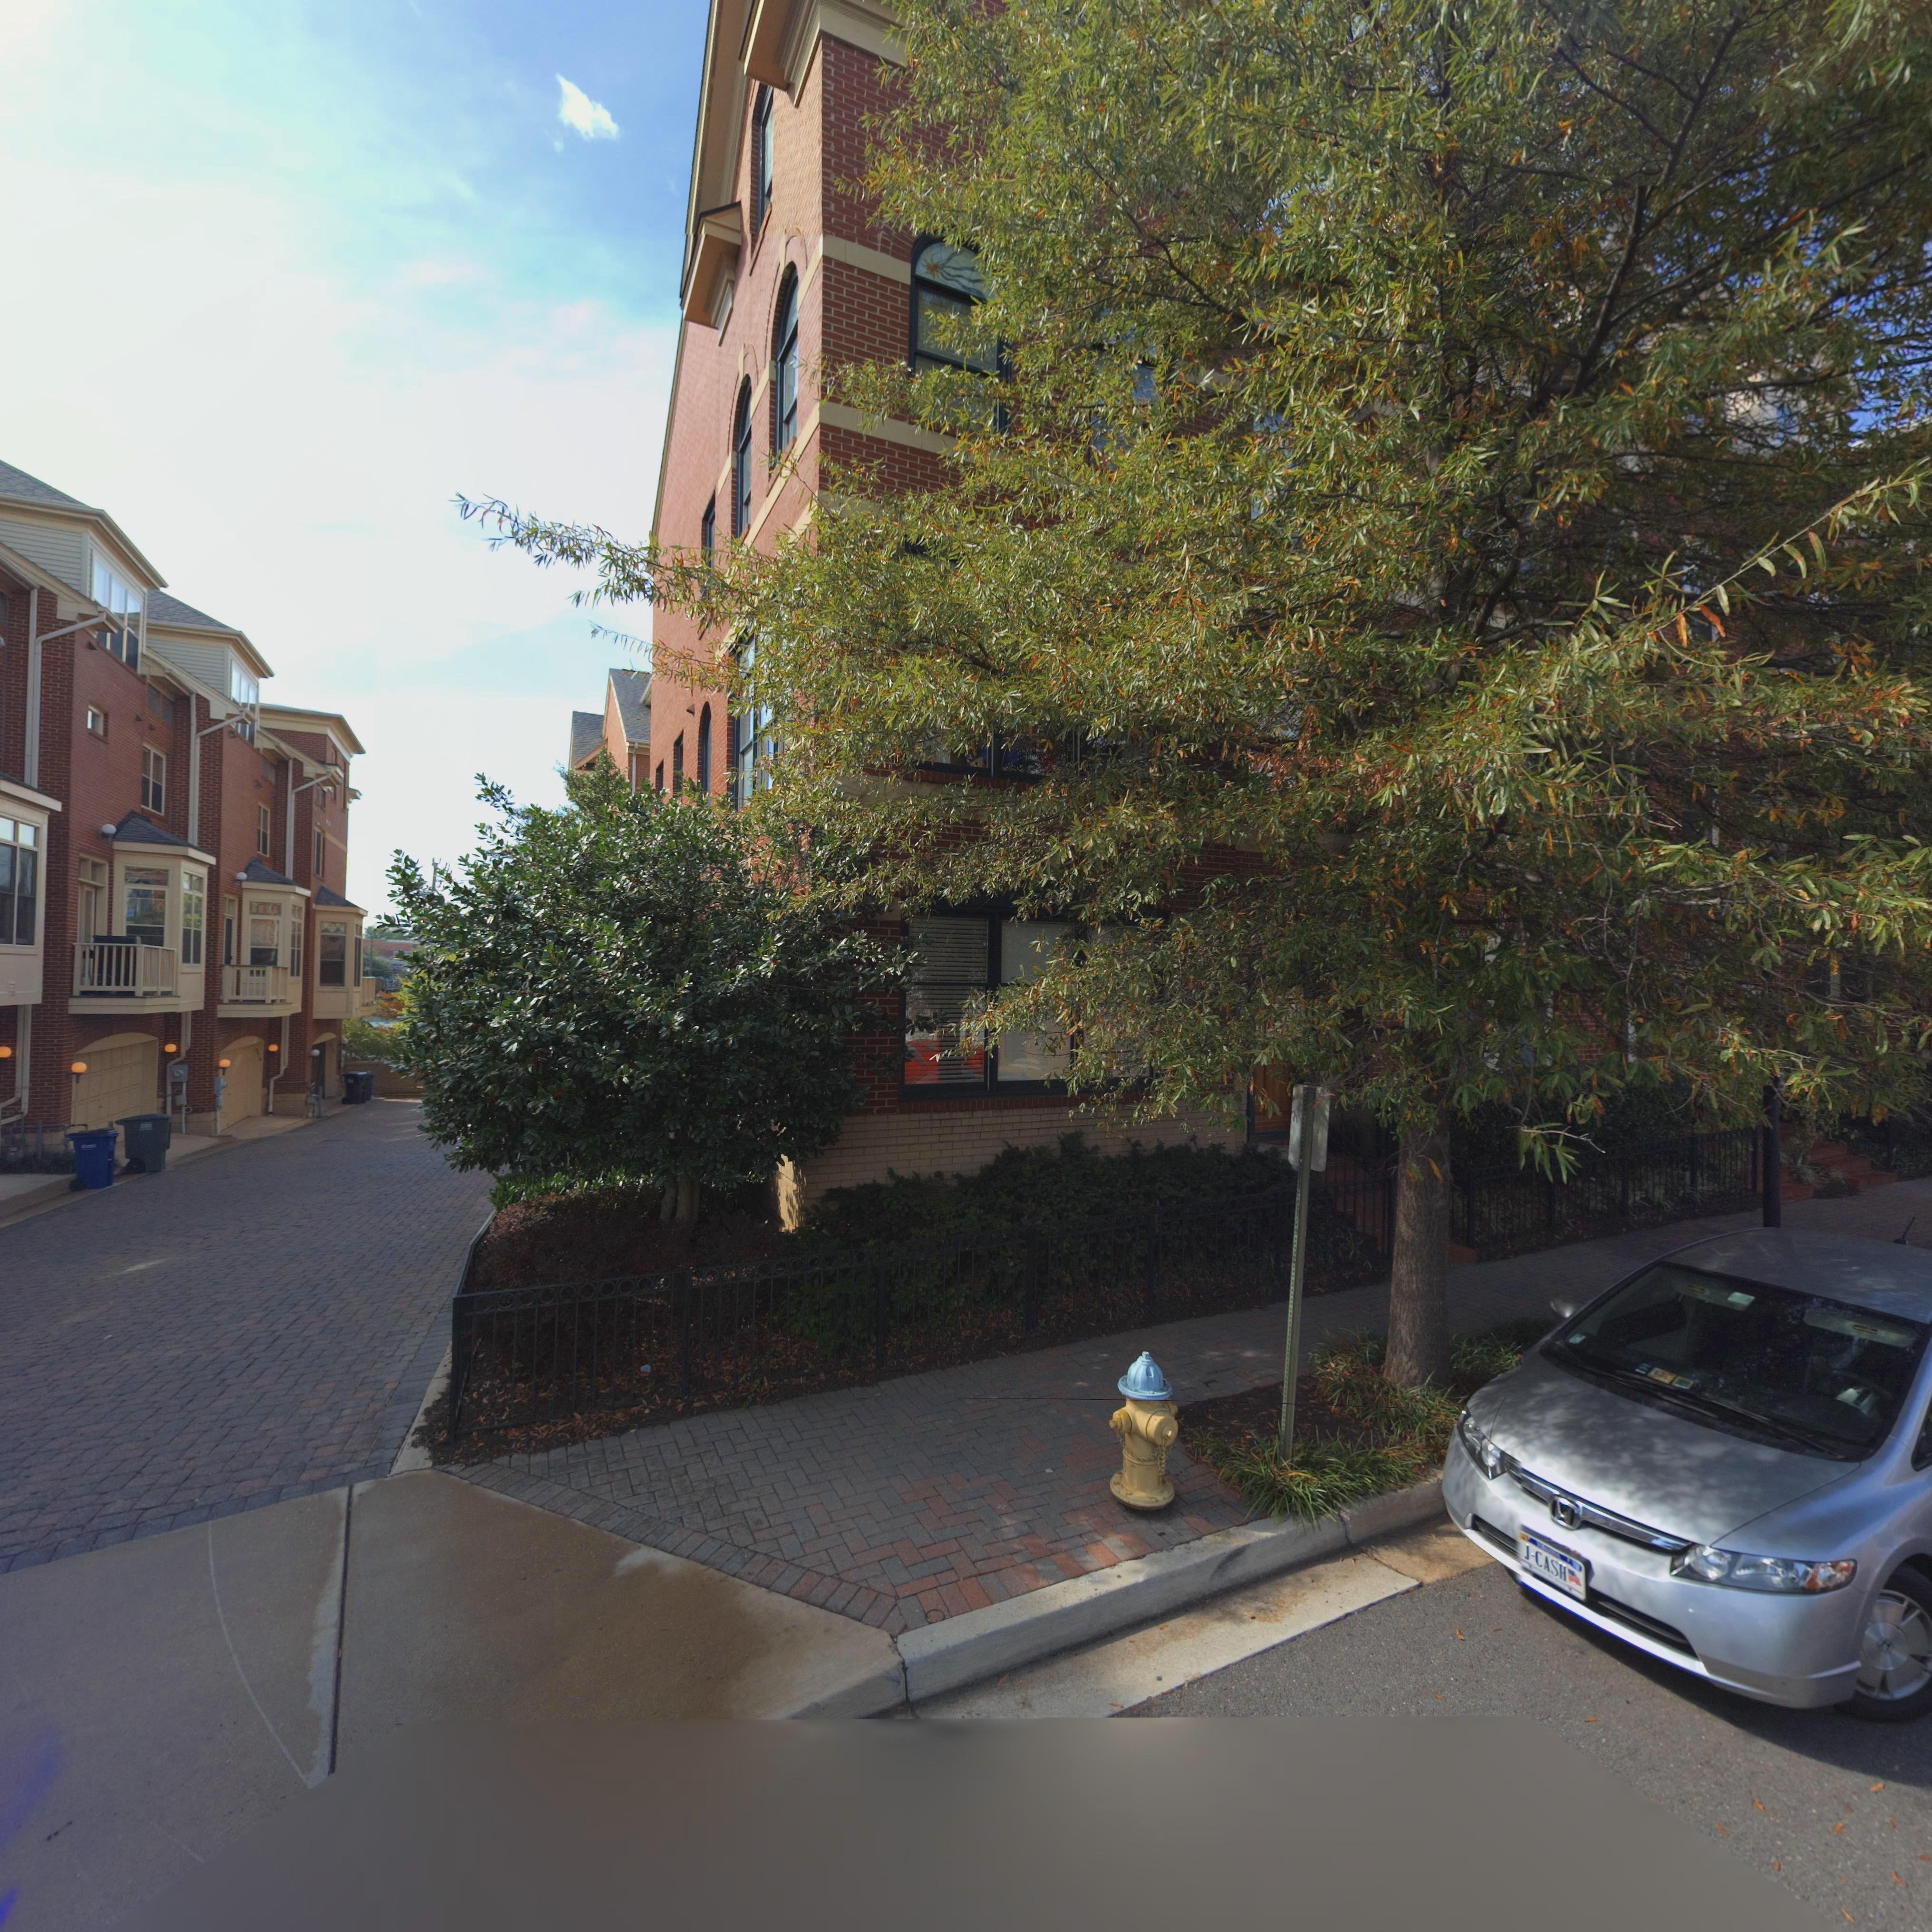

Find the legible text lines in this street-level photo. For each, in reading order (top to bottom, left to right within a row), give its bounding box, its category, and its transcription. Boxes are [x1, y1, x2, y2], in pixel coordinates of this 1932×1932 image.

[1520, 1540, 1569, 1586] None: J*CASH